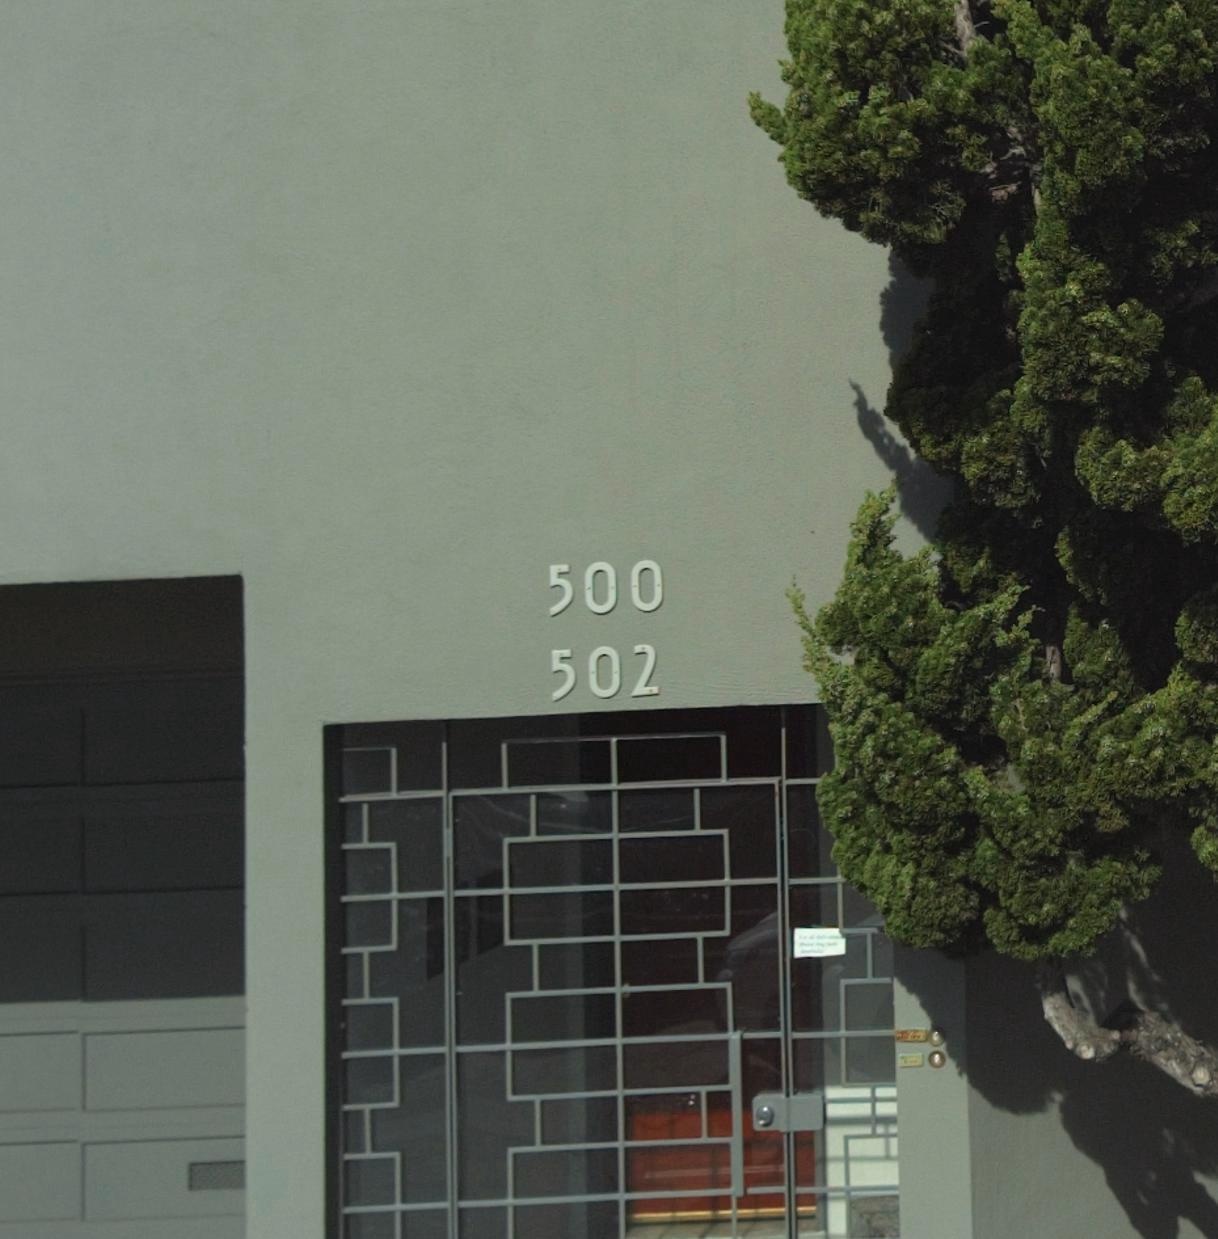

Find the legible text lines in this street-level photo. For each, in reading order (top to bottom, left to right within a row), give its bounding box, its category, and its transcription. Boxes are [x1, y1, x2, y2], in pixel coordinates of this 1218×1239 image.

[547, 556, 666, 619] StreetNumber: 500
[547, 642, 664, 702] StreetNumber: 502